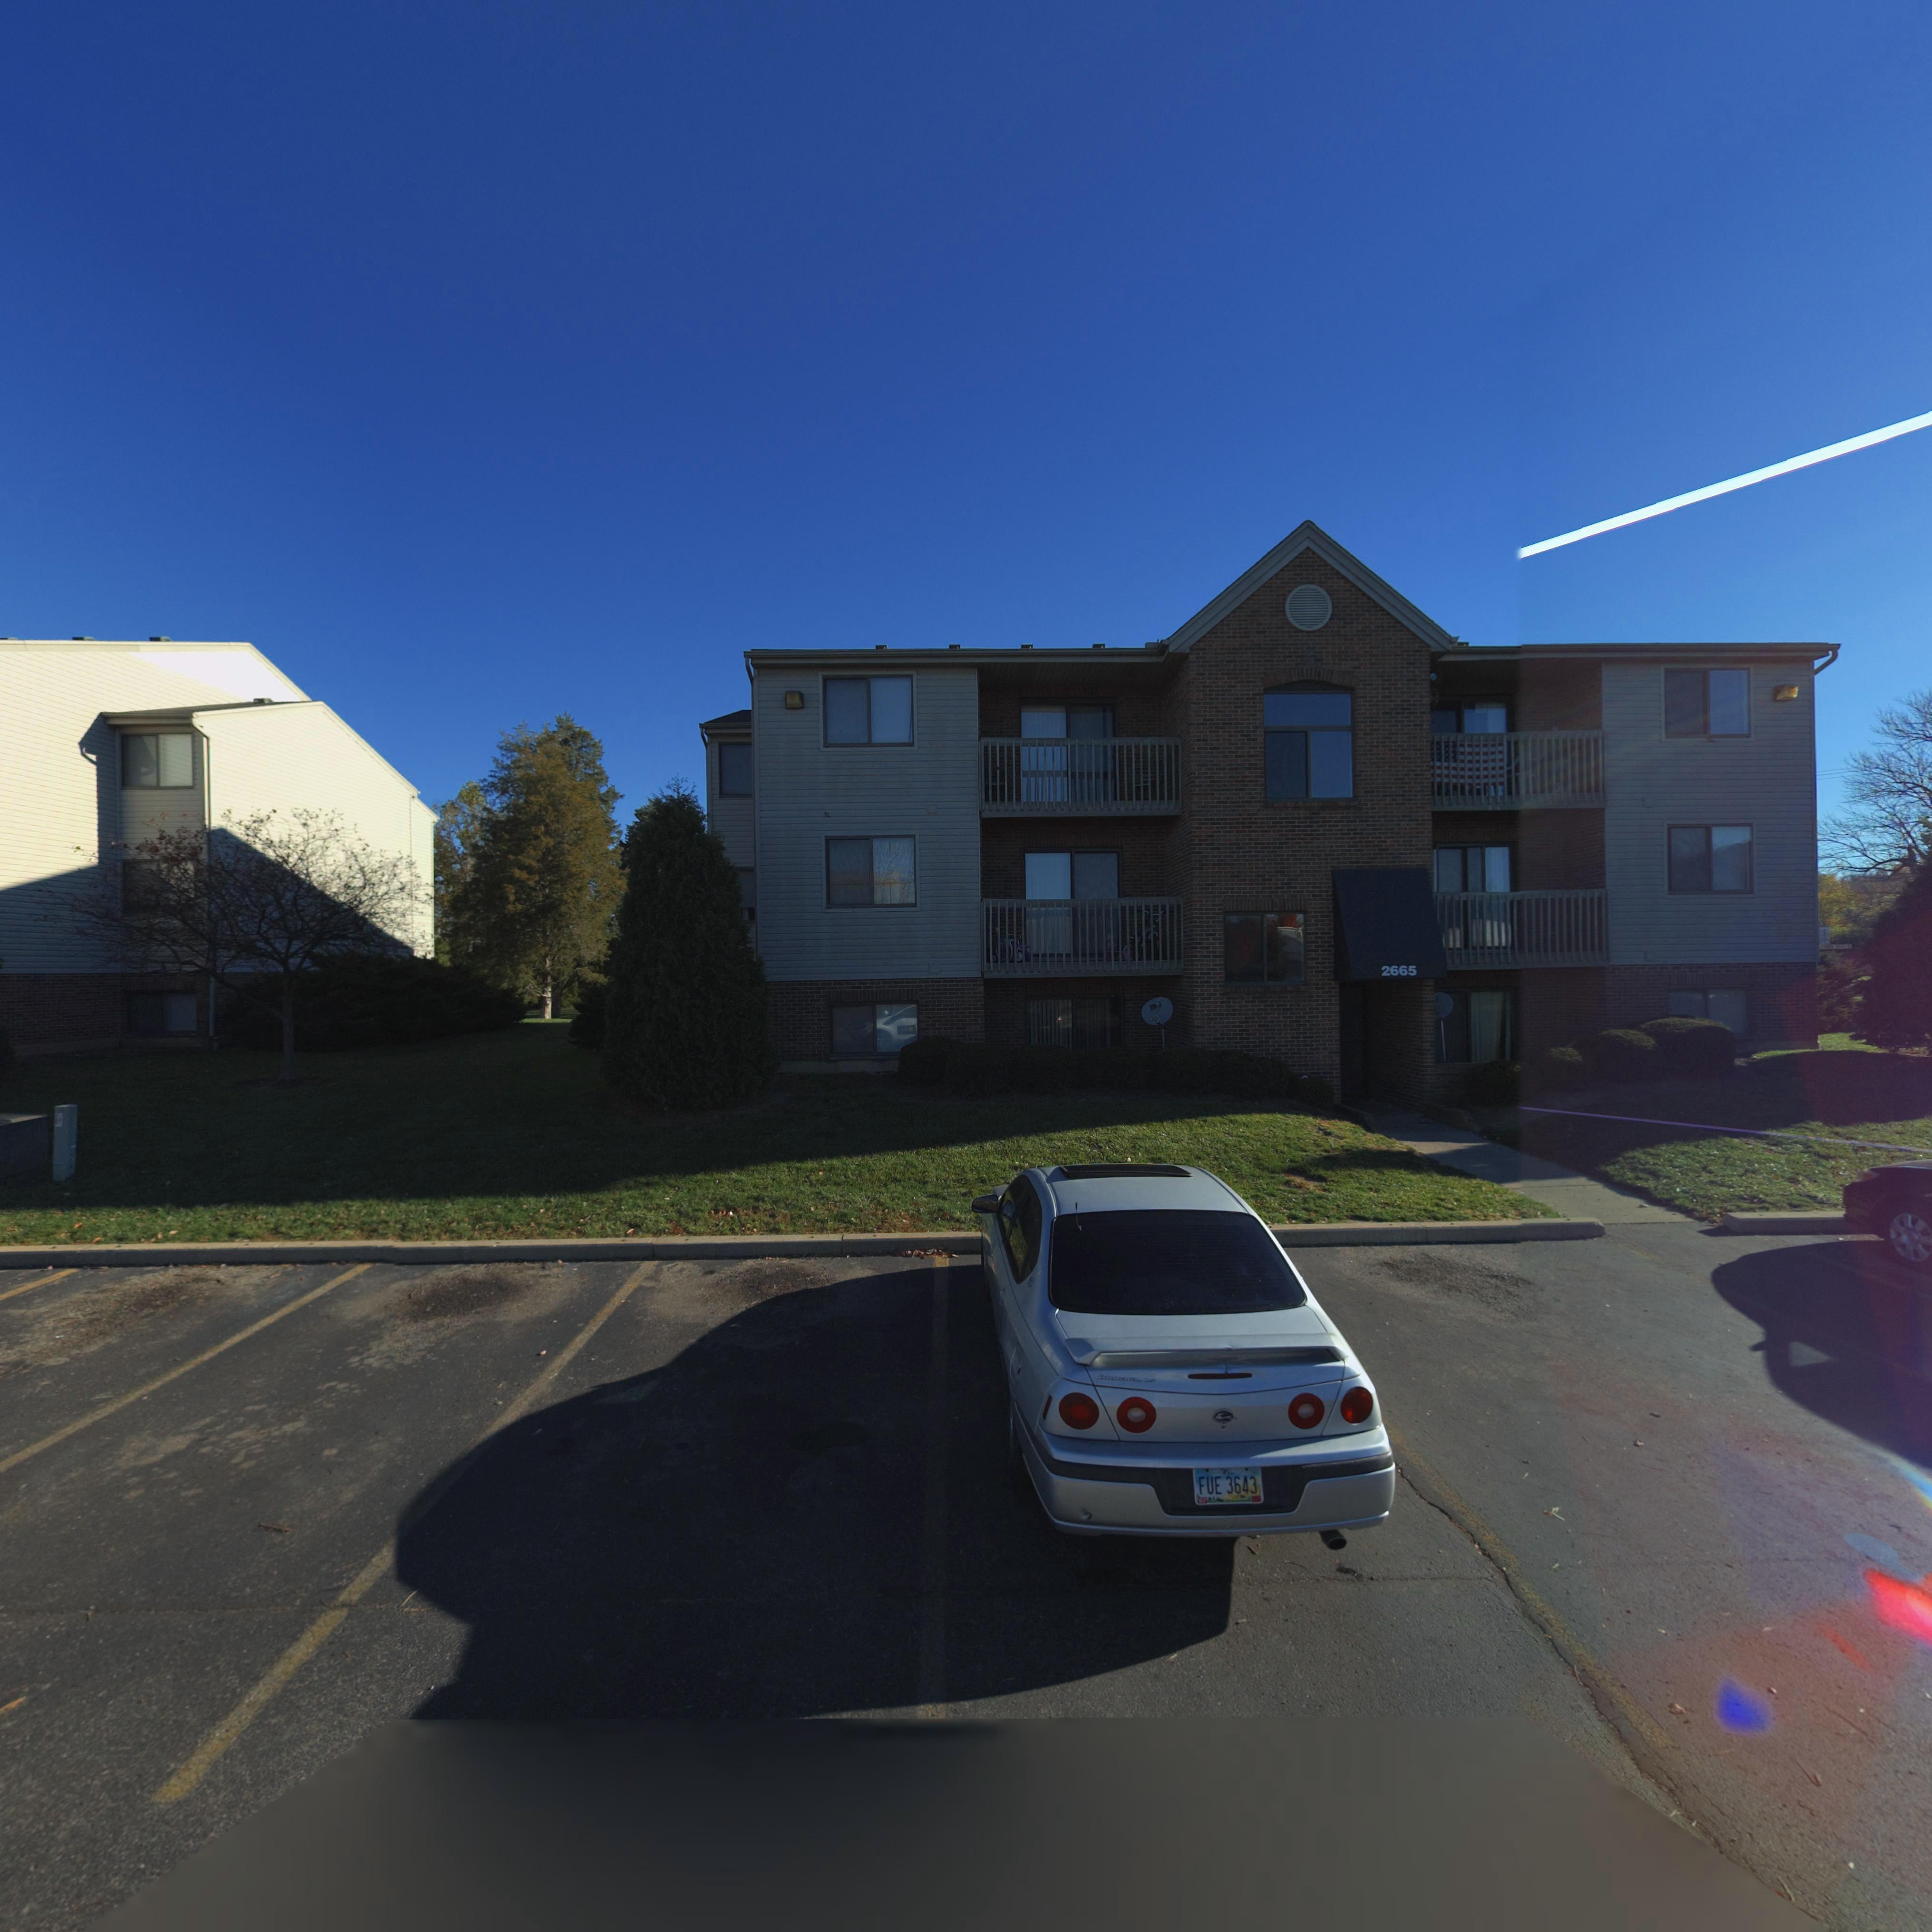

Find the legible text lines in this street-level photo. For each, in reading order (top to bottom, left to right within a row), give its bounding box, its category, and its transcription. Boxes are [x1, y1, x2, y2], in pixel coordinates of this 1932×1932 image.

[1381, 965, 1417, 976] StreetNumber: 2665